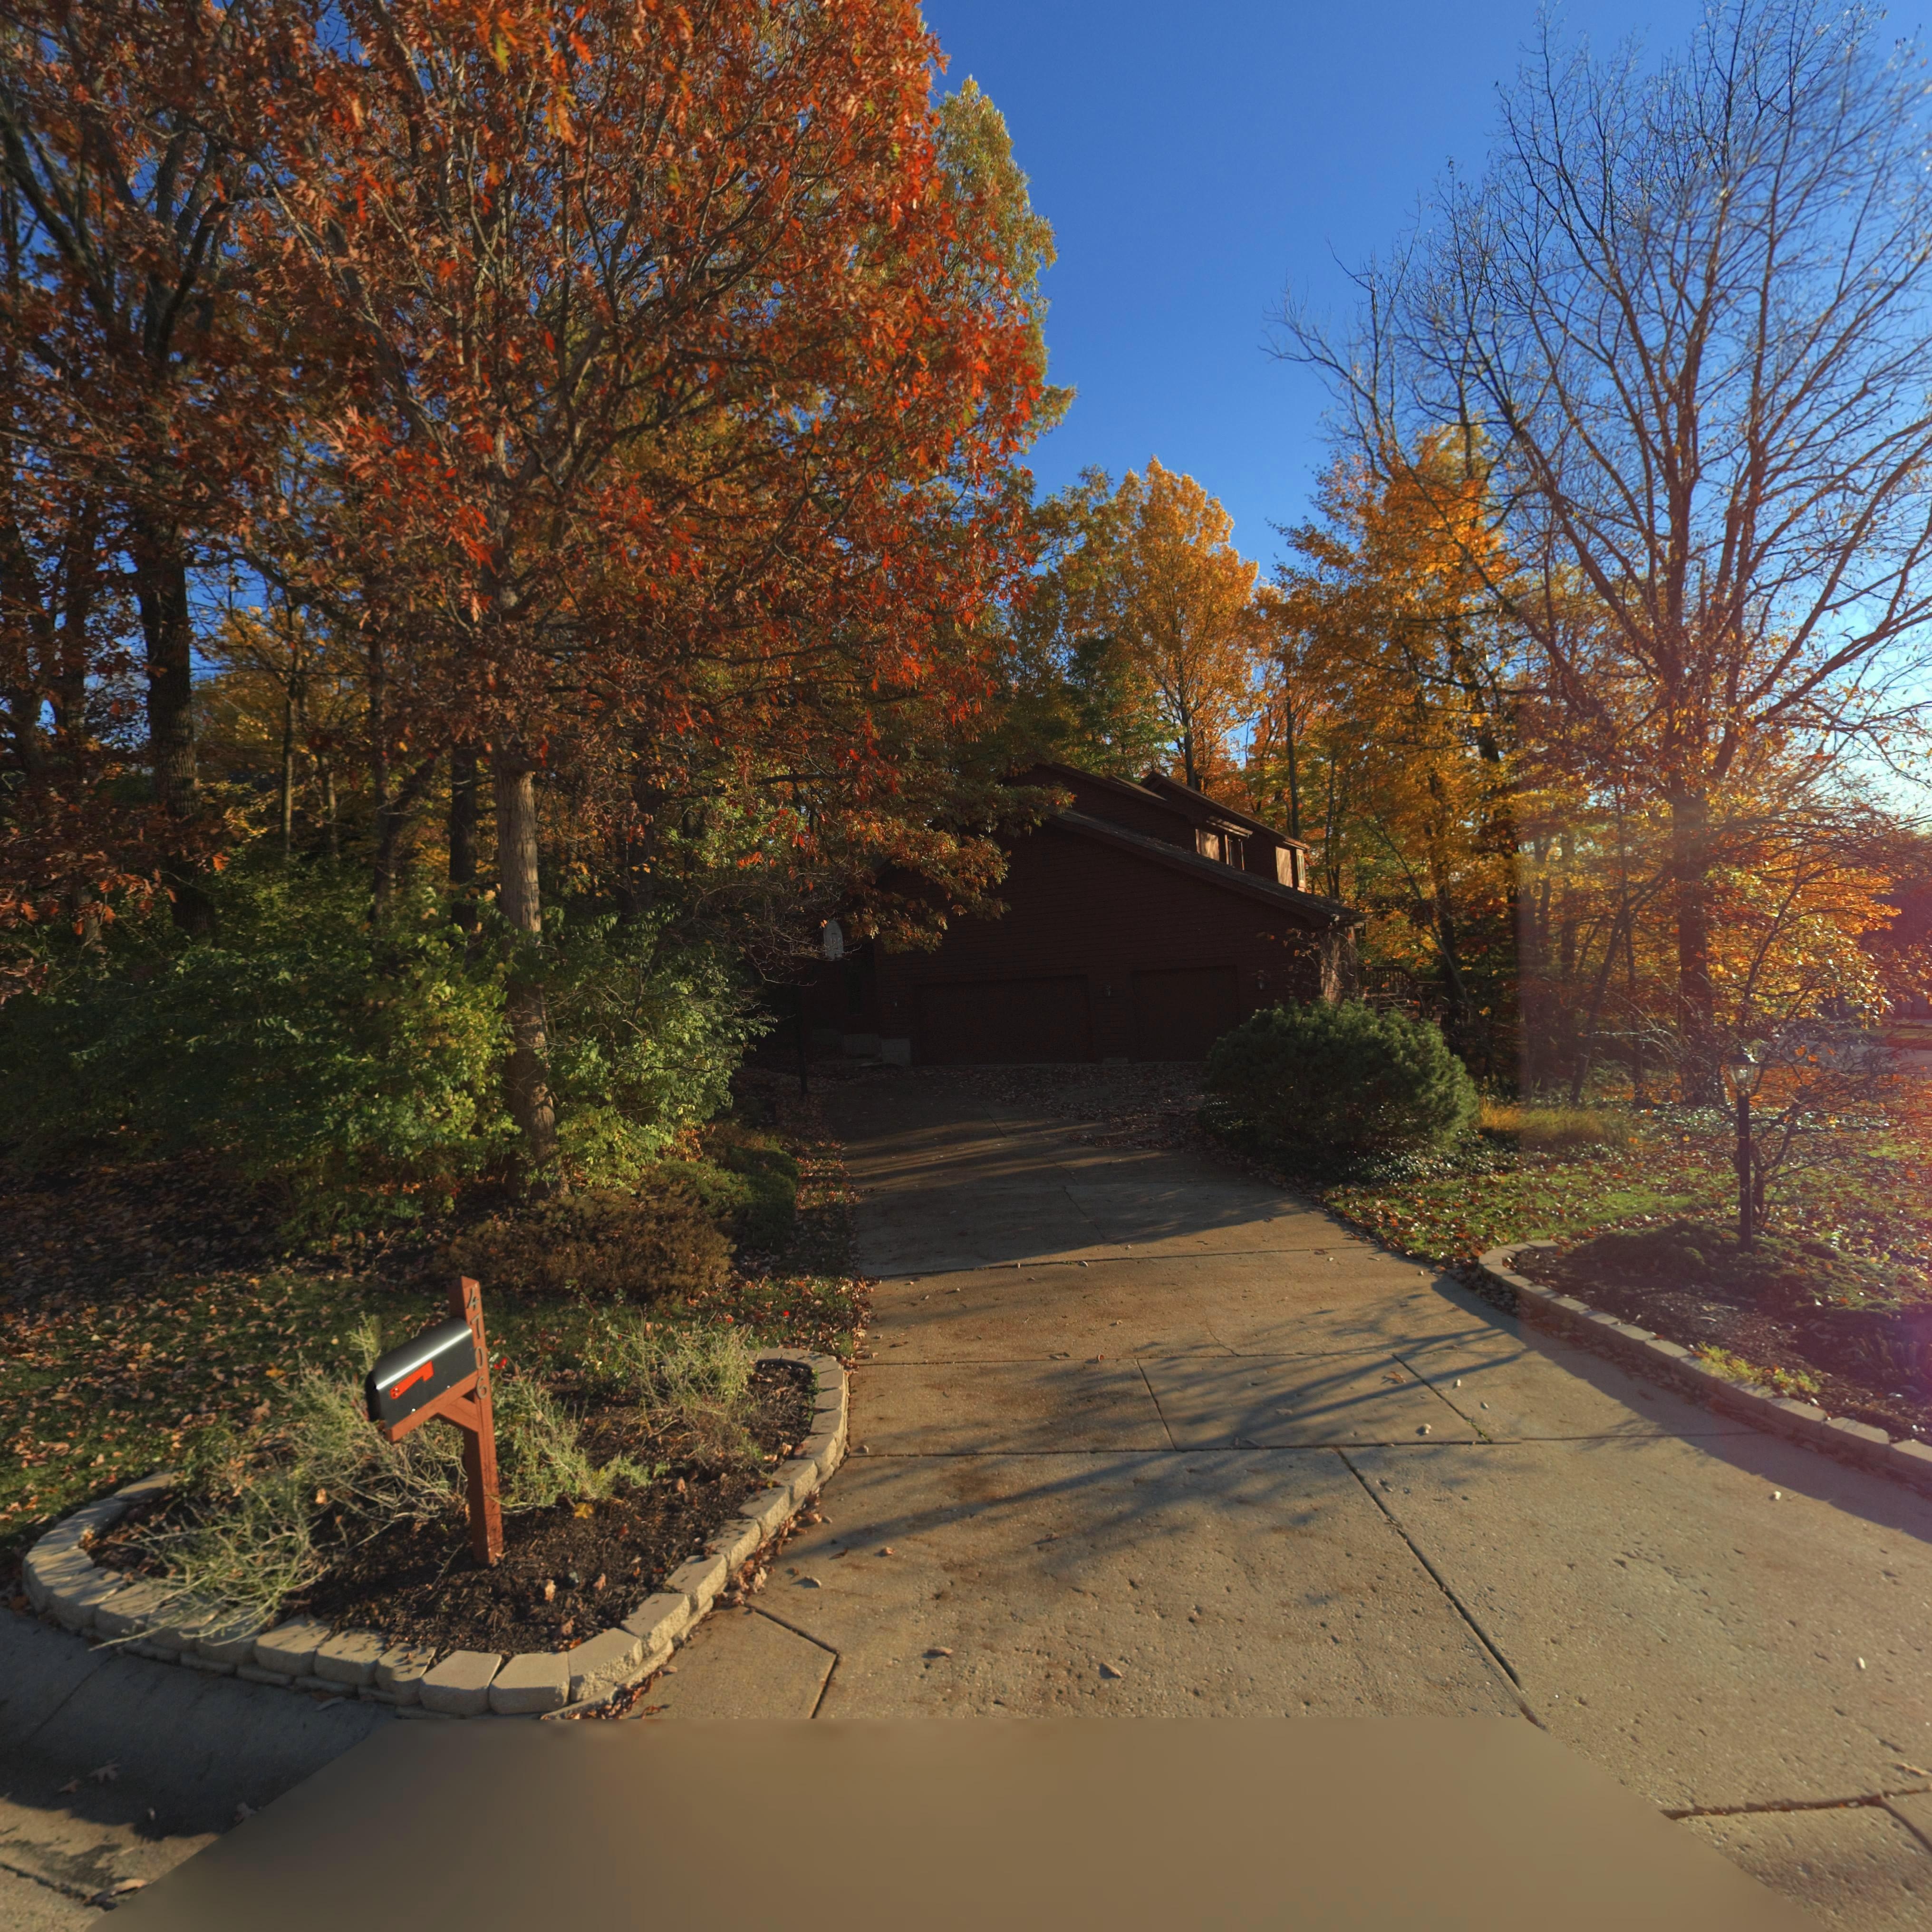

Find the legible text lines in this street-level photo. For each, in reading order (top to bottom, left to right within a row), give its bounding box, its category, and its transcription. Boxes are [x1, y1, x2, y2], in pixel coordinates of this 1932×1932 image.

[465, 1285, 490, 1402] StreetNumber: 4706